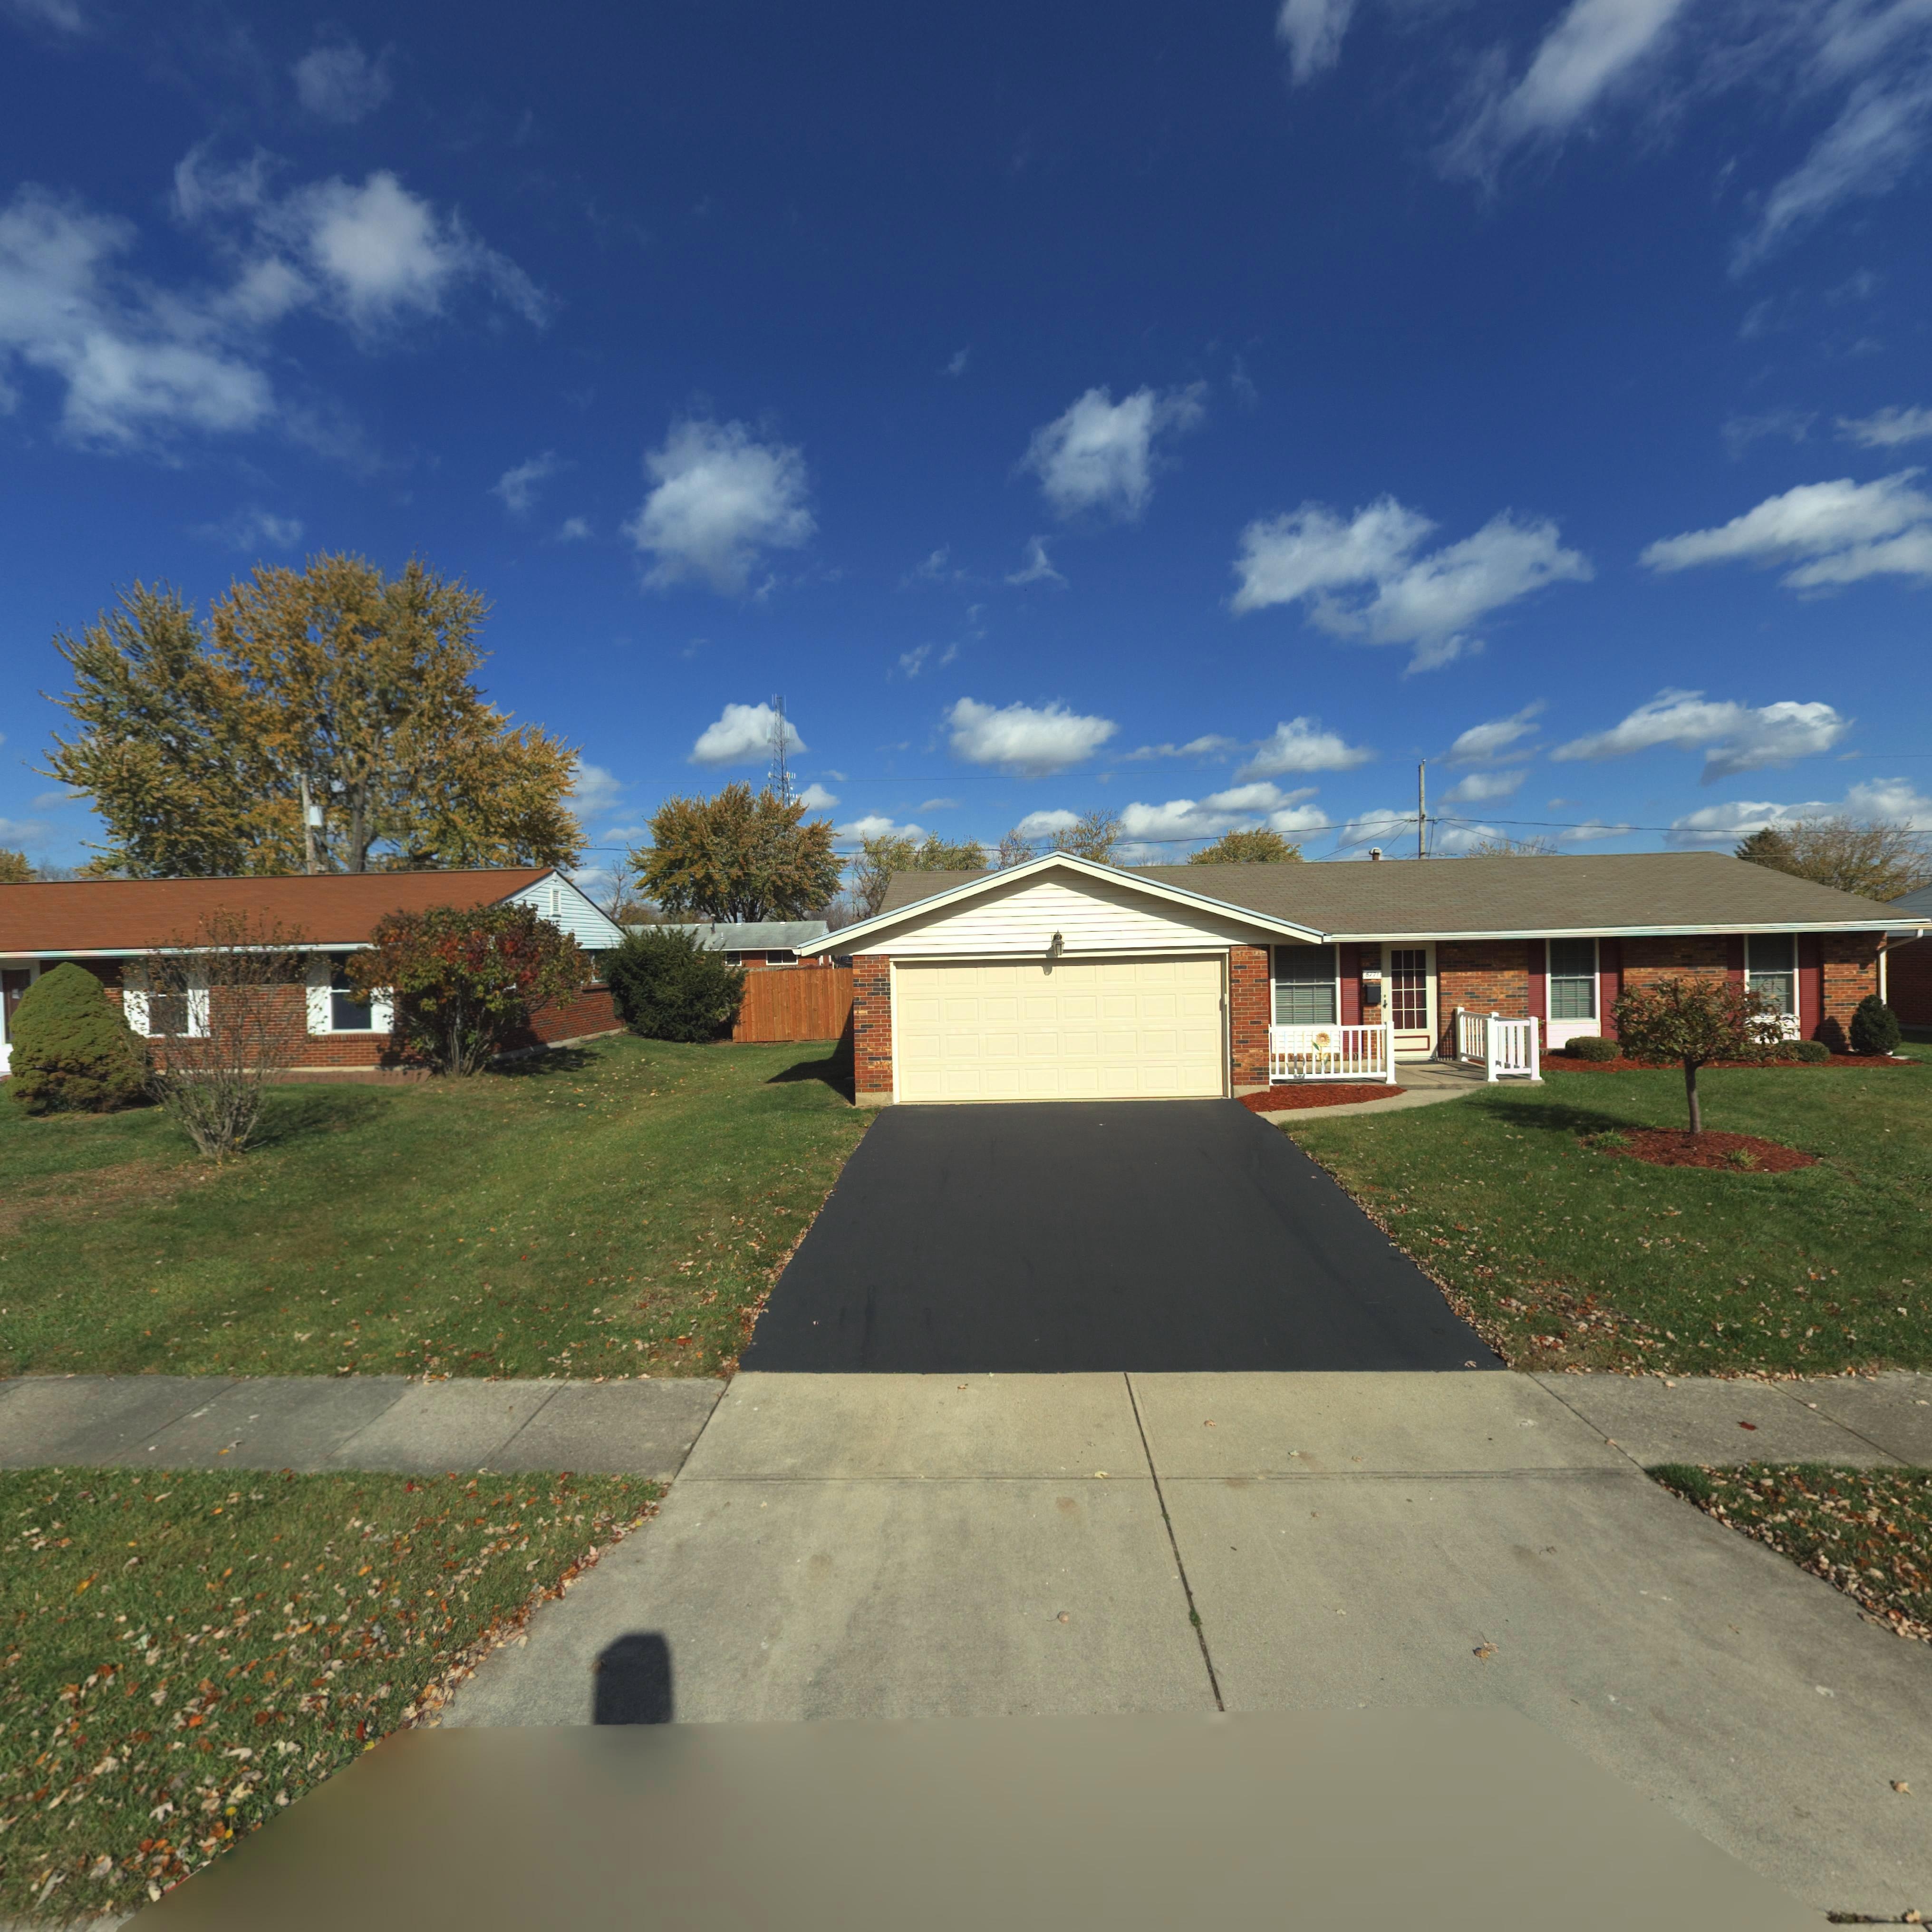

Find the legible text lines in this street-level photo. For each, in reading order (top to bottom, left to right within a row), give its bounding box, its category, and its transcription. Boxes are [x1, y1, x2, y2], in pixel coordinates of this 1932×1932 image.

[1365, 971, 1380, 977] StreetNumber: 6771